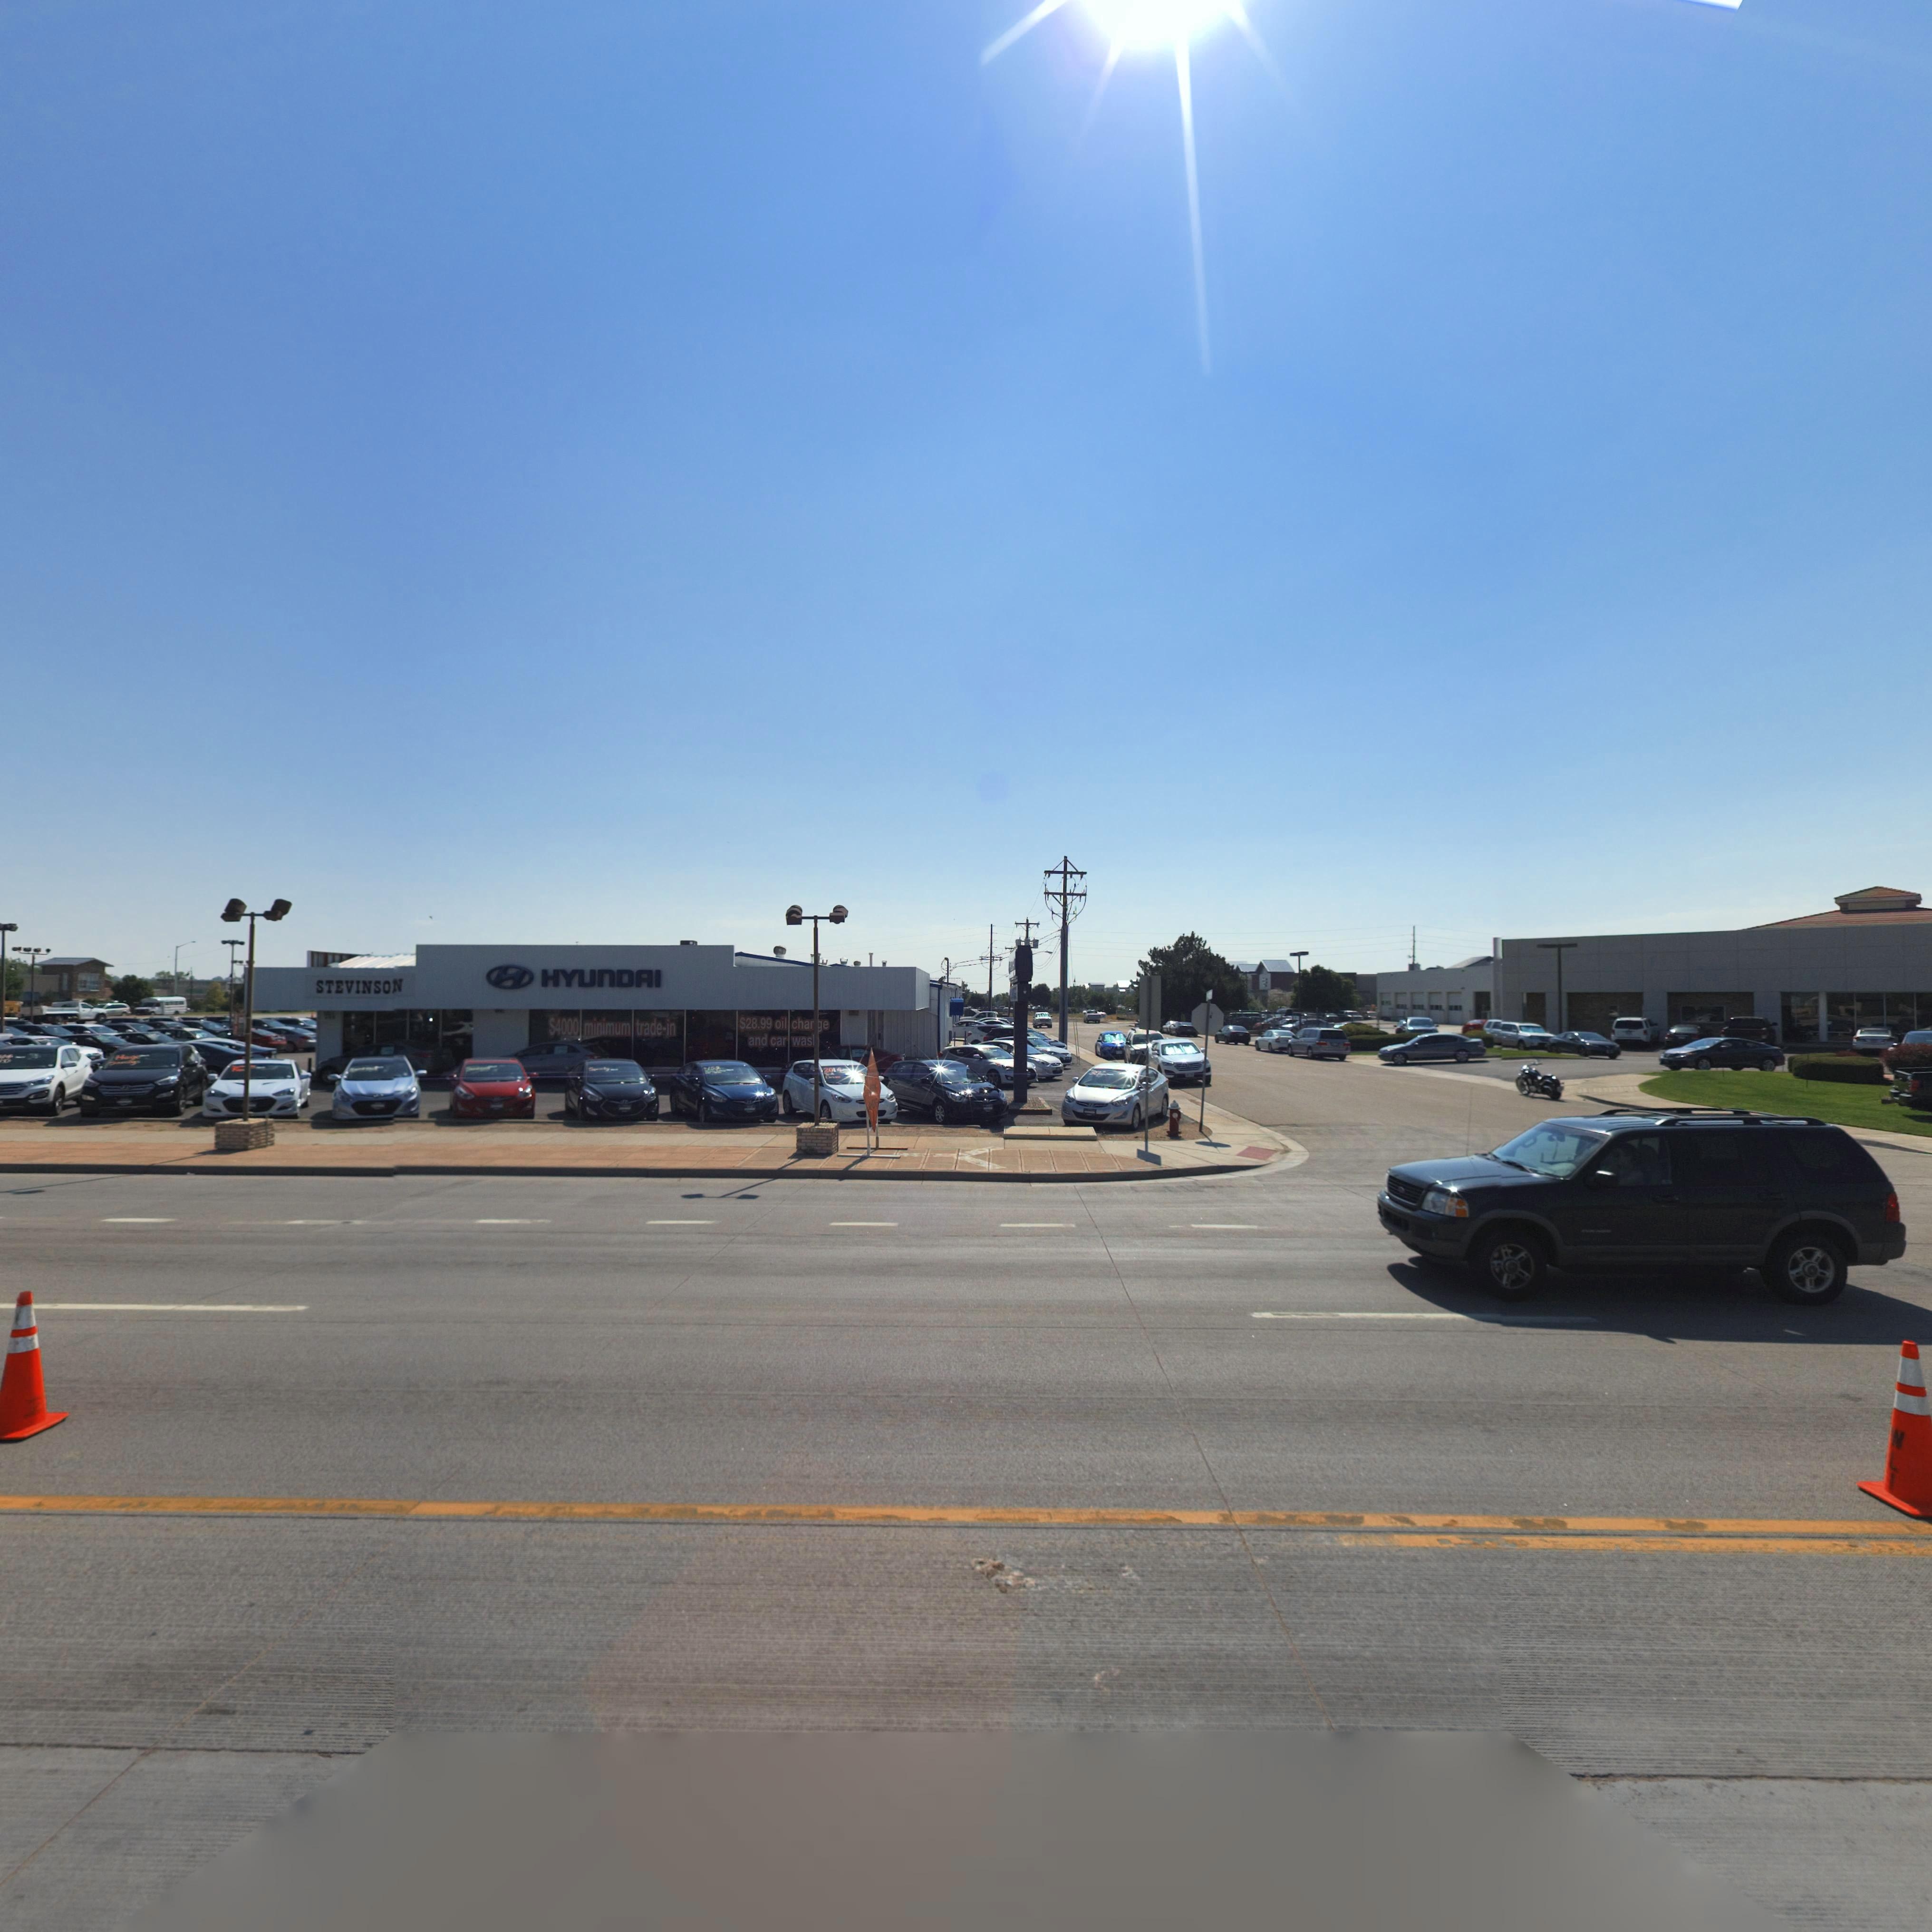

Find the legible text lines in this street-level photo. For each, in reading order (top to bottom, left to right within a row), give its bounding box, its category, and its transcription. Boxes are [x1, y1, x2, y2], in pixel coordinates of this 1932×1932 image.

[315, 977, 404, 994] BusinessName: STEVINSON
[541, 968, 661, 988] BusinessName: HYUnDAI